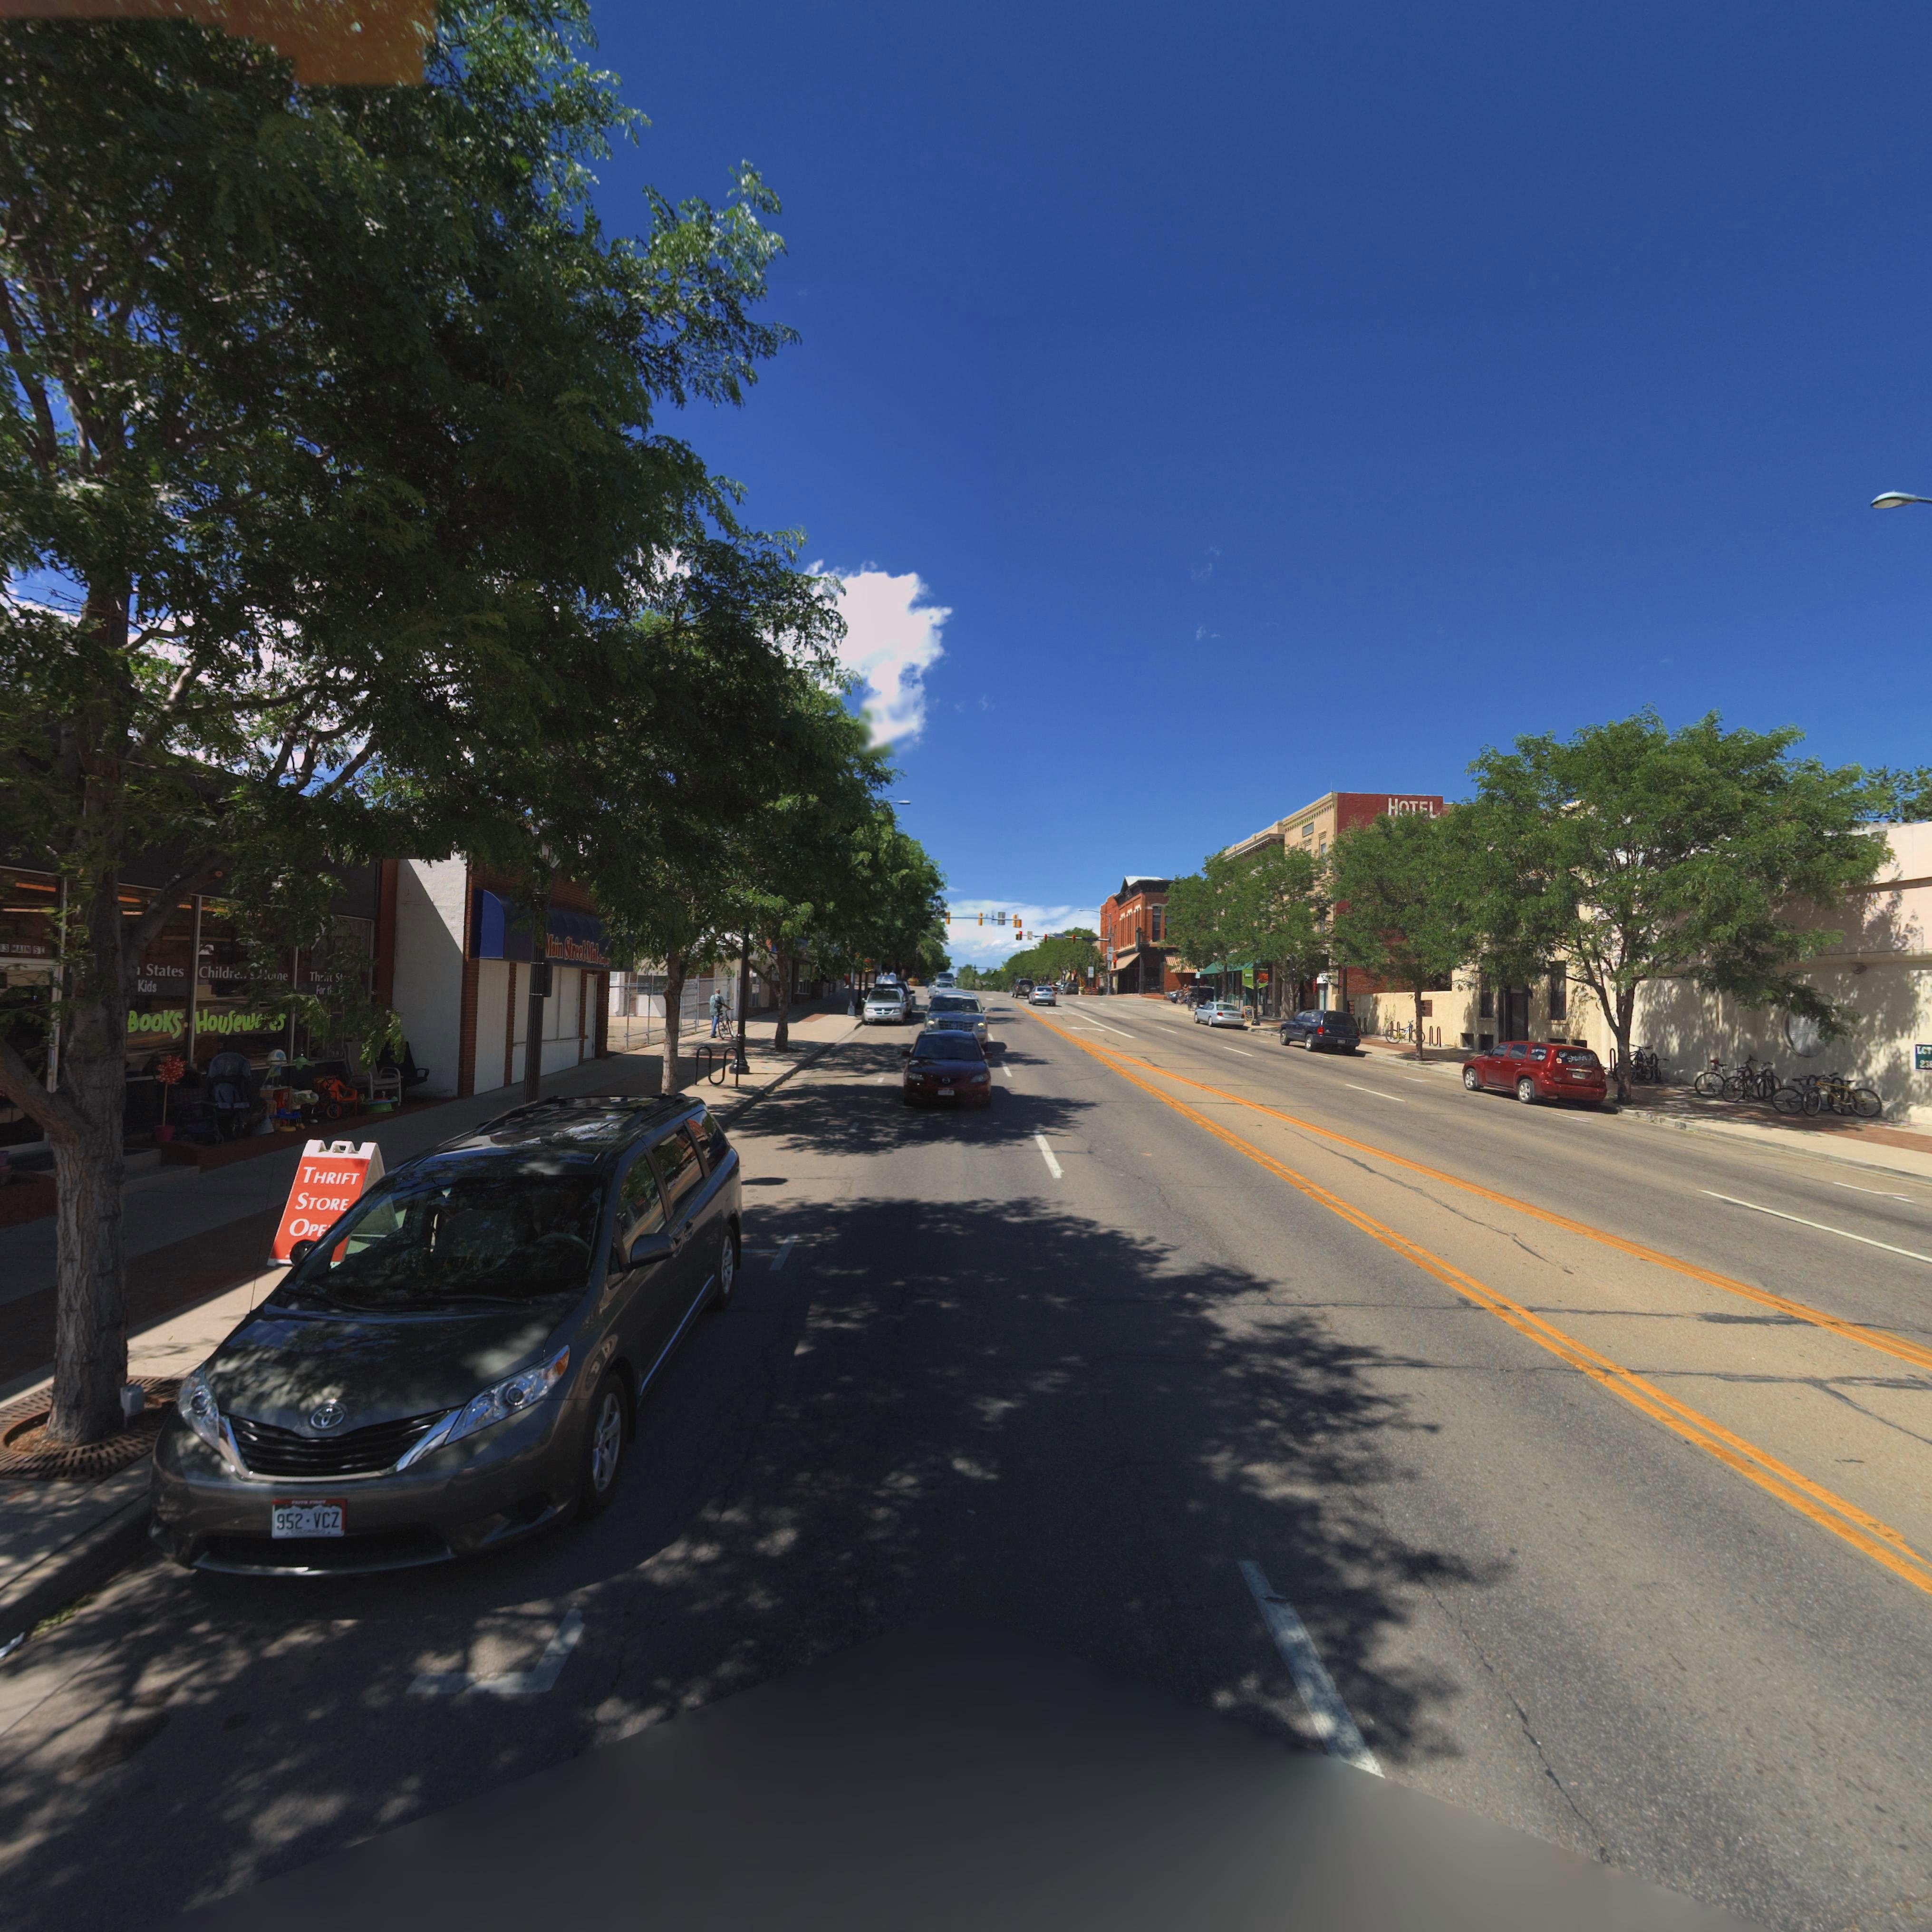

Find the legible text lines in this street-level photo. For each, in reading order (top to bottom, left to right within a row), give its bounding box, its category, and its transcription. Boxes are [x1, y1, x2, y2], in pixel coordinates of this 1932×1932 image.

[10, 944, 45, 954] StreetName: MAIN ST
[545, 933, 599, 964] BusinessName: *ain Street Mat
[135, 962, 355, 983] BusinessName: * States Childr***s *o*e Th***t St***
[1919, 1059, 1930, 1068] StreetNumber: 23